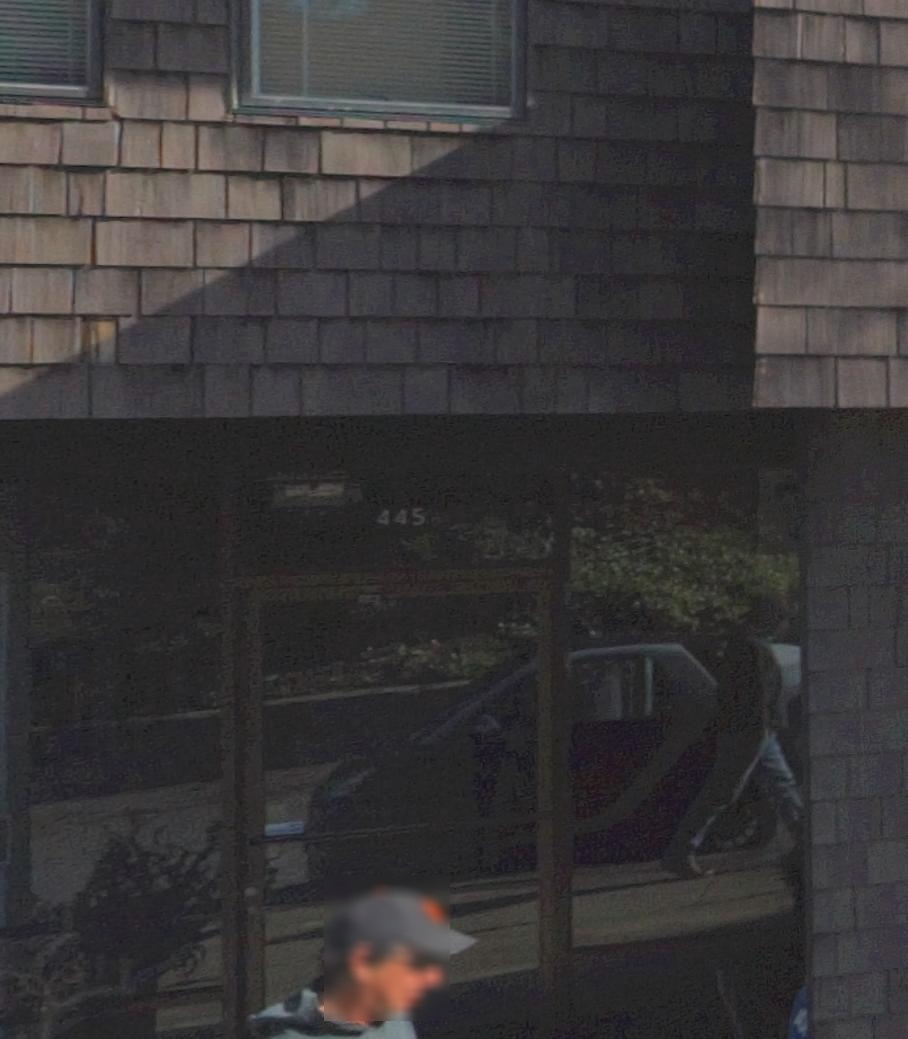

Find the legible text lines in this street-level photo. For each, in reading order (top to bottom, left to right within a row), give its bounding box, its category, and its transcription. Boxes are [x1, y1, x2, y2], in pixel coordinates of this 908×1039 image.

[376, 505, 426, 528] StreetNumber: 445